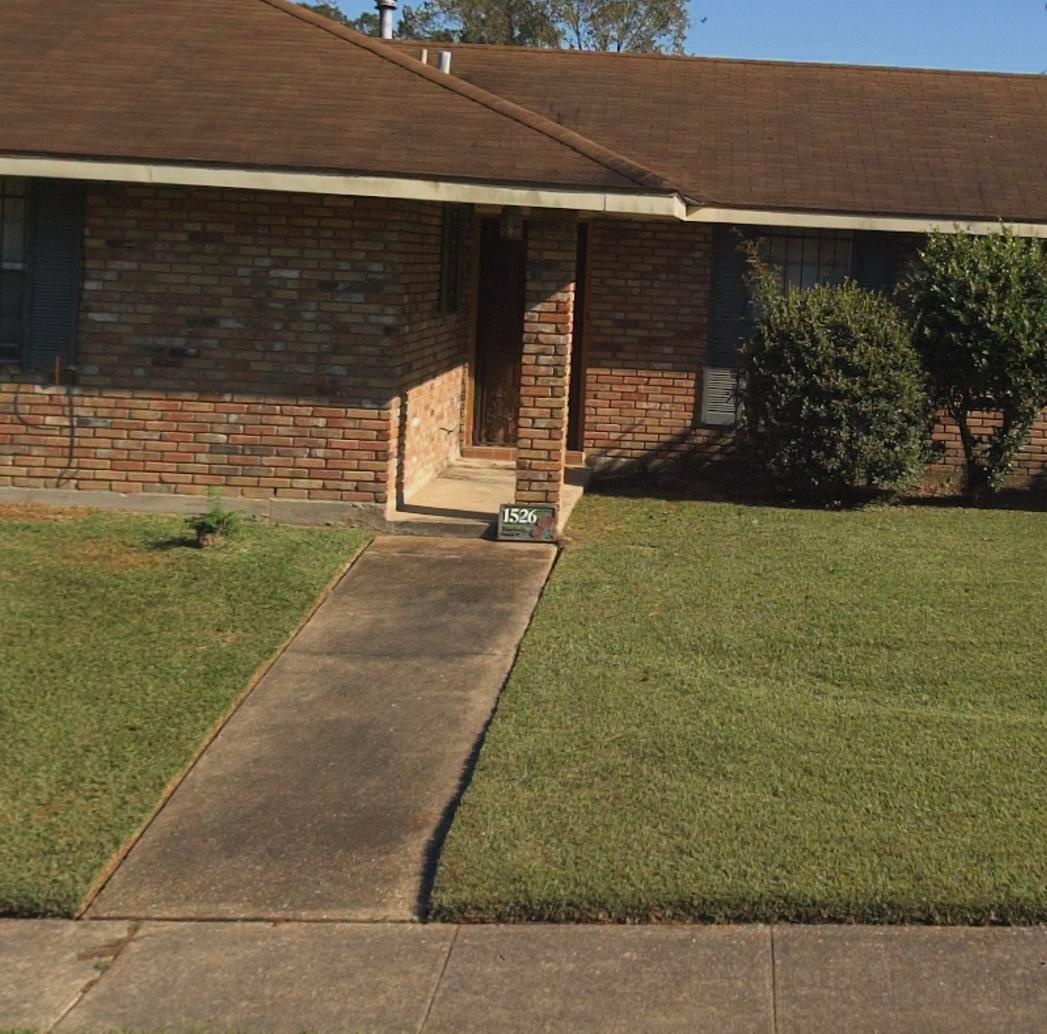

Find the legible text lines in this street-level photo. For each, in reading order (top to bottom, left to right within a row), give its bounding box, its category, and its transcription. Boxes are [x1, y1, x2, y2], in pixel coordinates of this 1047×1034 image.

[502, 508, 538, 524] StreetNumber: 1526